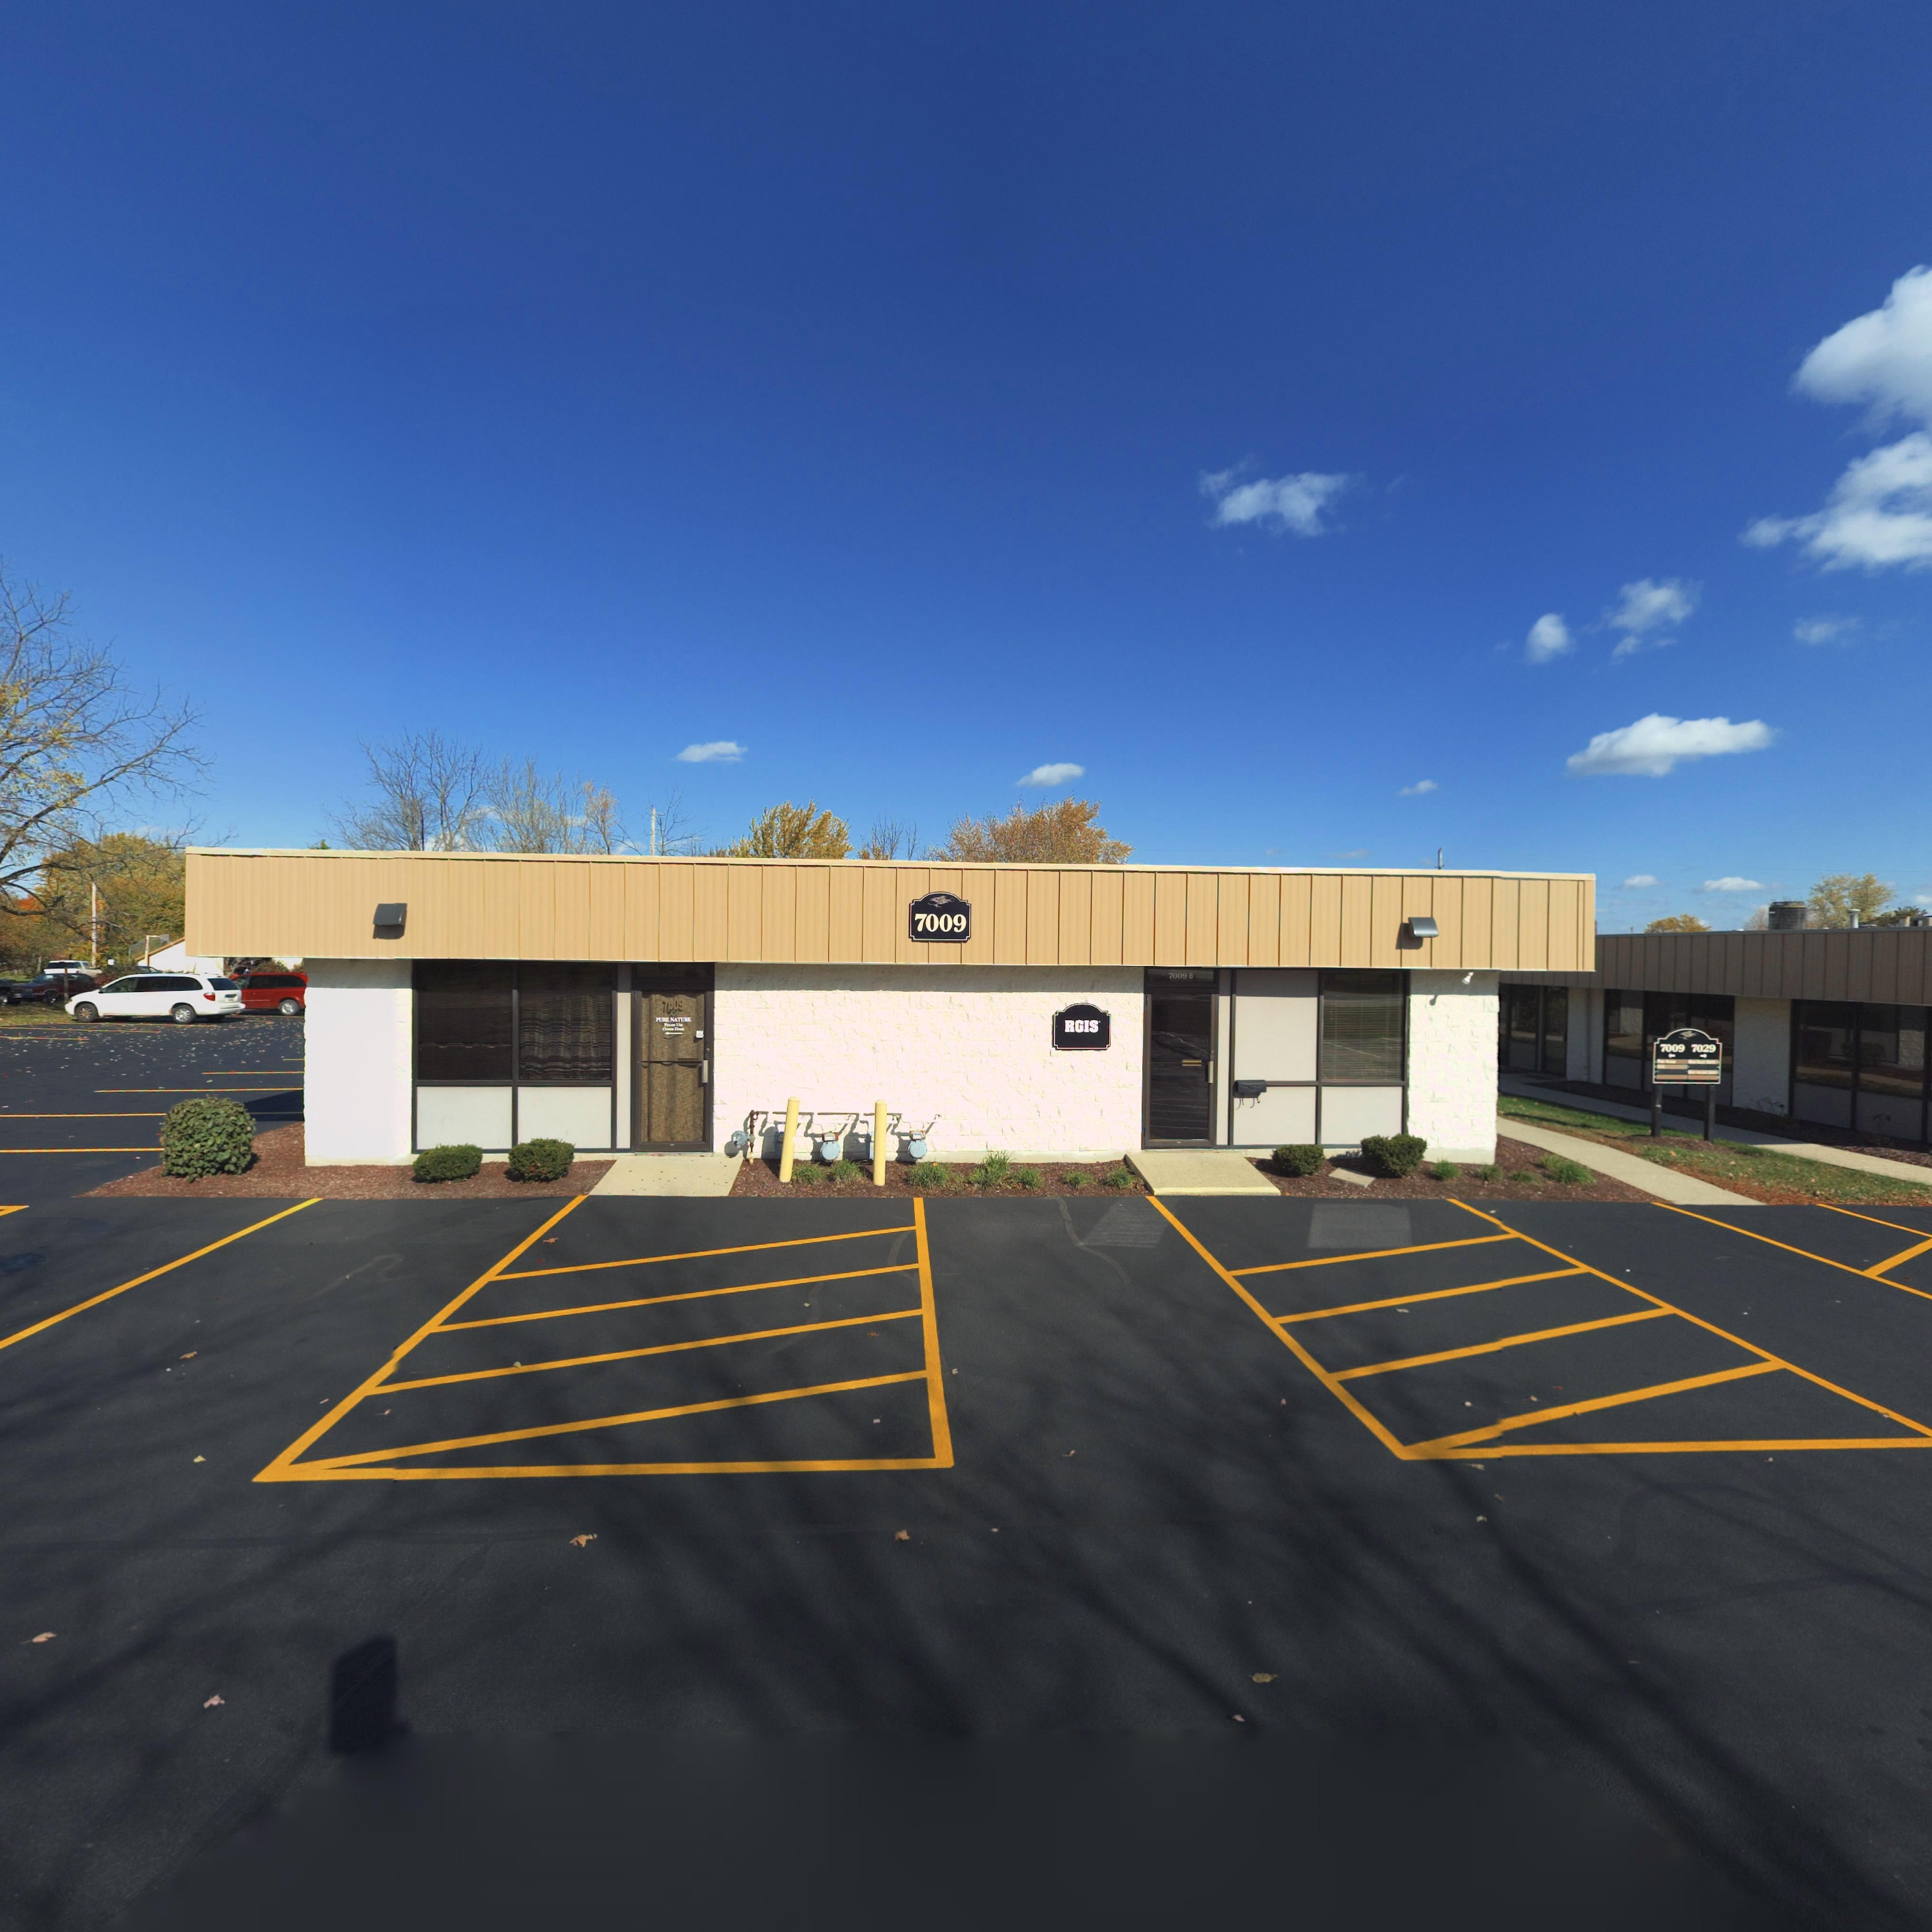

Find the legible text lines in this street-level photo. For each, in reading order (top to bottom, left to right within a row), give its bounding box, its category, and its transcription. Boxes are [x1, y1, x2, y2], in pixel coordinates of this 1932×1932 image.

[913, 911, 969, 934] StreetNumber: 7009
[1167, 971, 1195, 981] StreetNumber: 7009 B
[660, 996, 685, 1015] StreetNumber: 7009
[1659, 1042, 1687, 1054] StreetNumber: 7009
[1689, 1043, 1719, 1054] StreetNumber: 7029